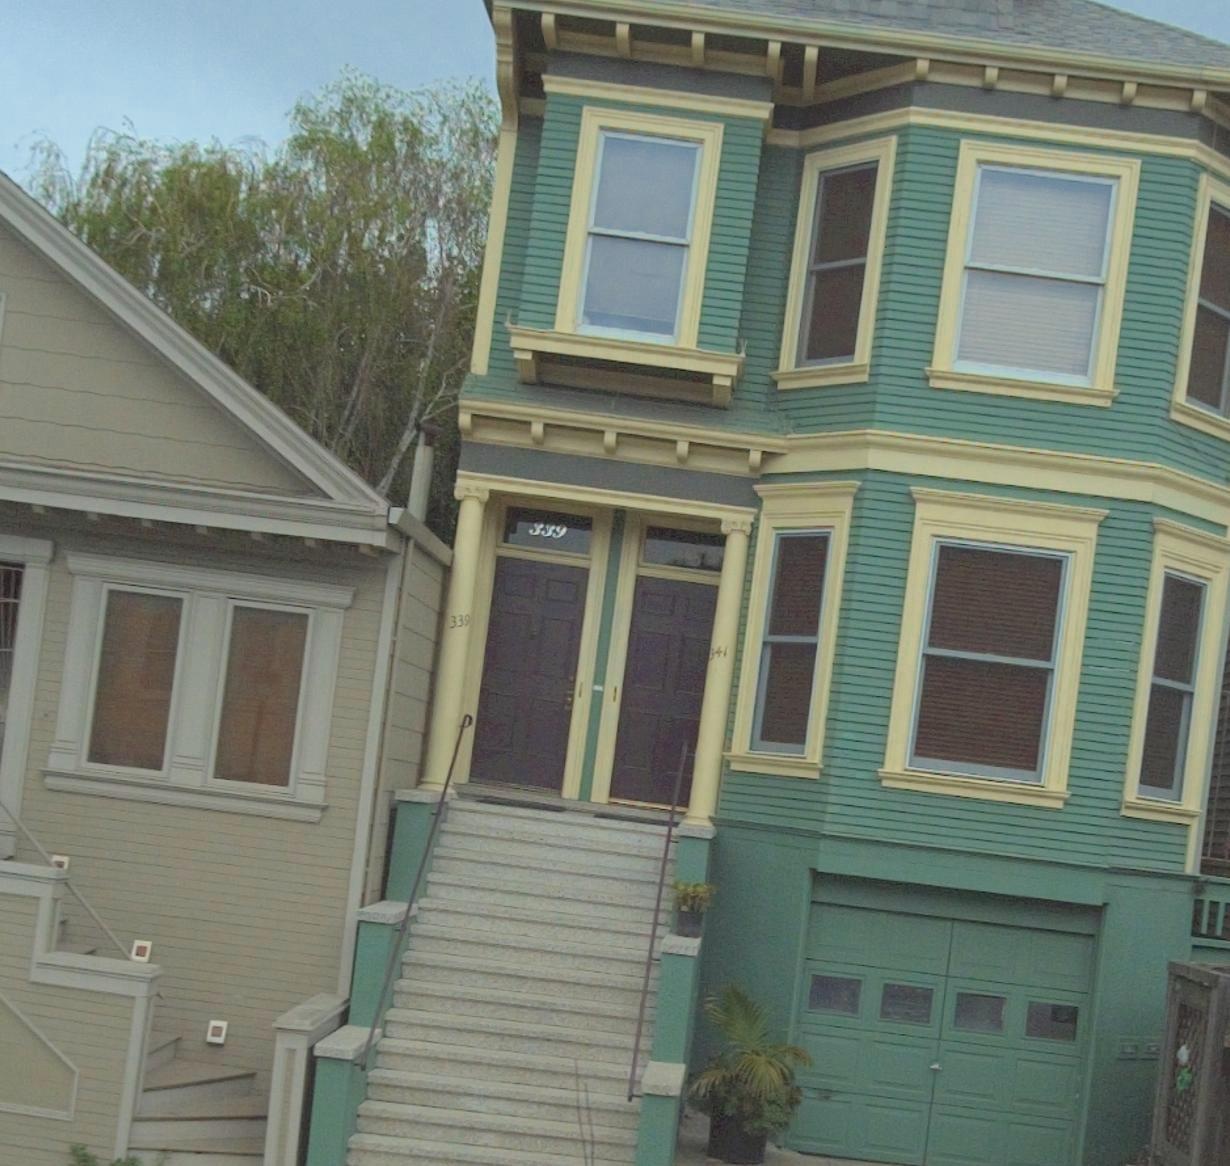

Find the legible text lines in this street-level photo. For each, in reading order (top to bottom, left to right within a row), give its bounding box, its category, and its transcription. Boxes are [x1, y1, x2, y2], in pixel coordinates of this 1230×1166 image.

[528, 519, 571, 540] StreetNumber: 339
[447, 611, 471, 630] StreetNumber: 339
[709, 644, 730, 660] StreetNumber: 341